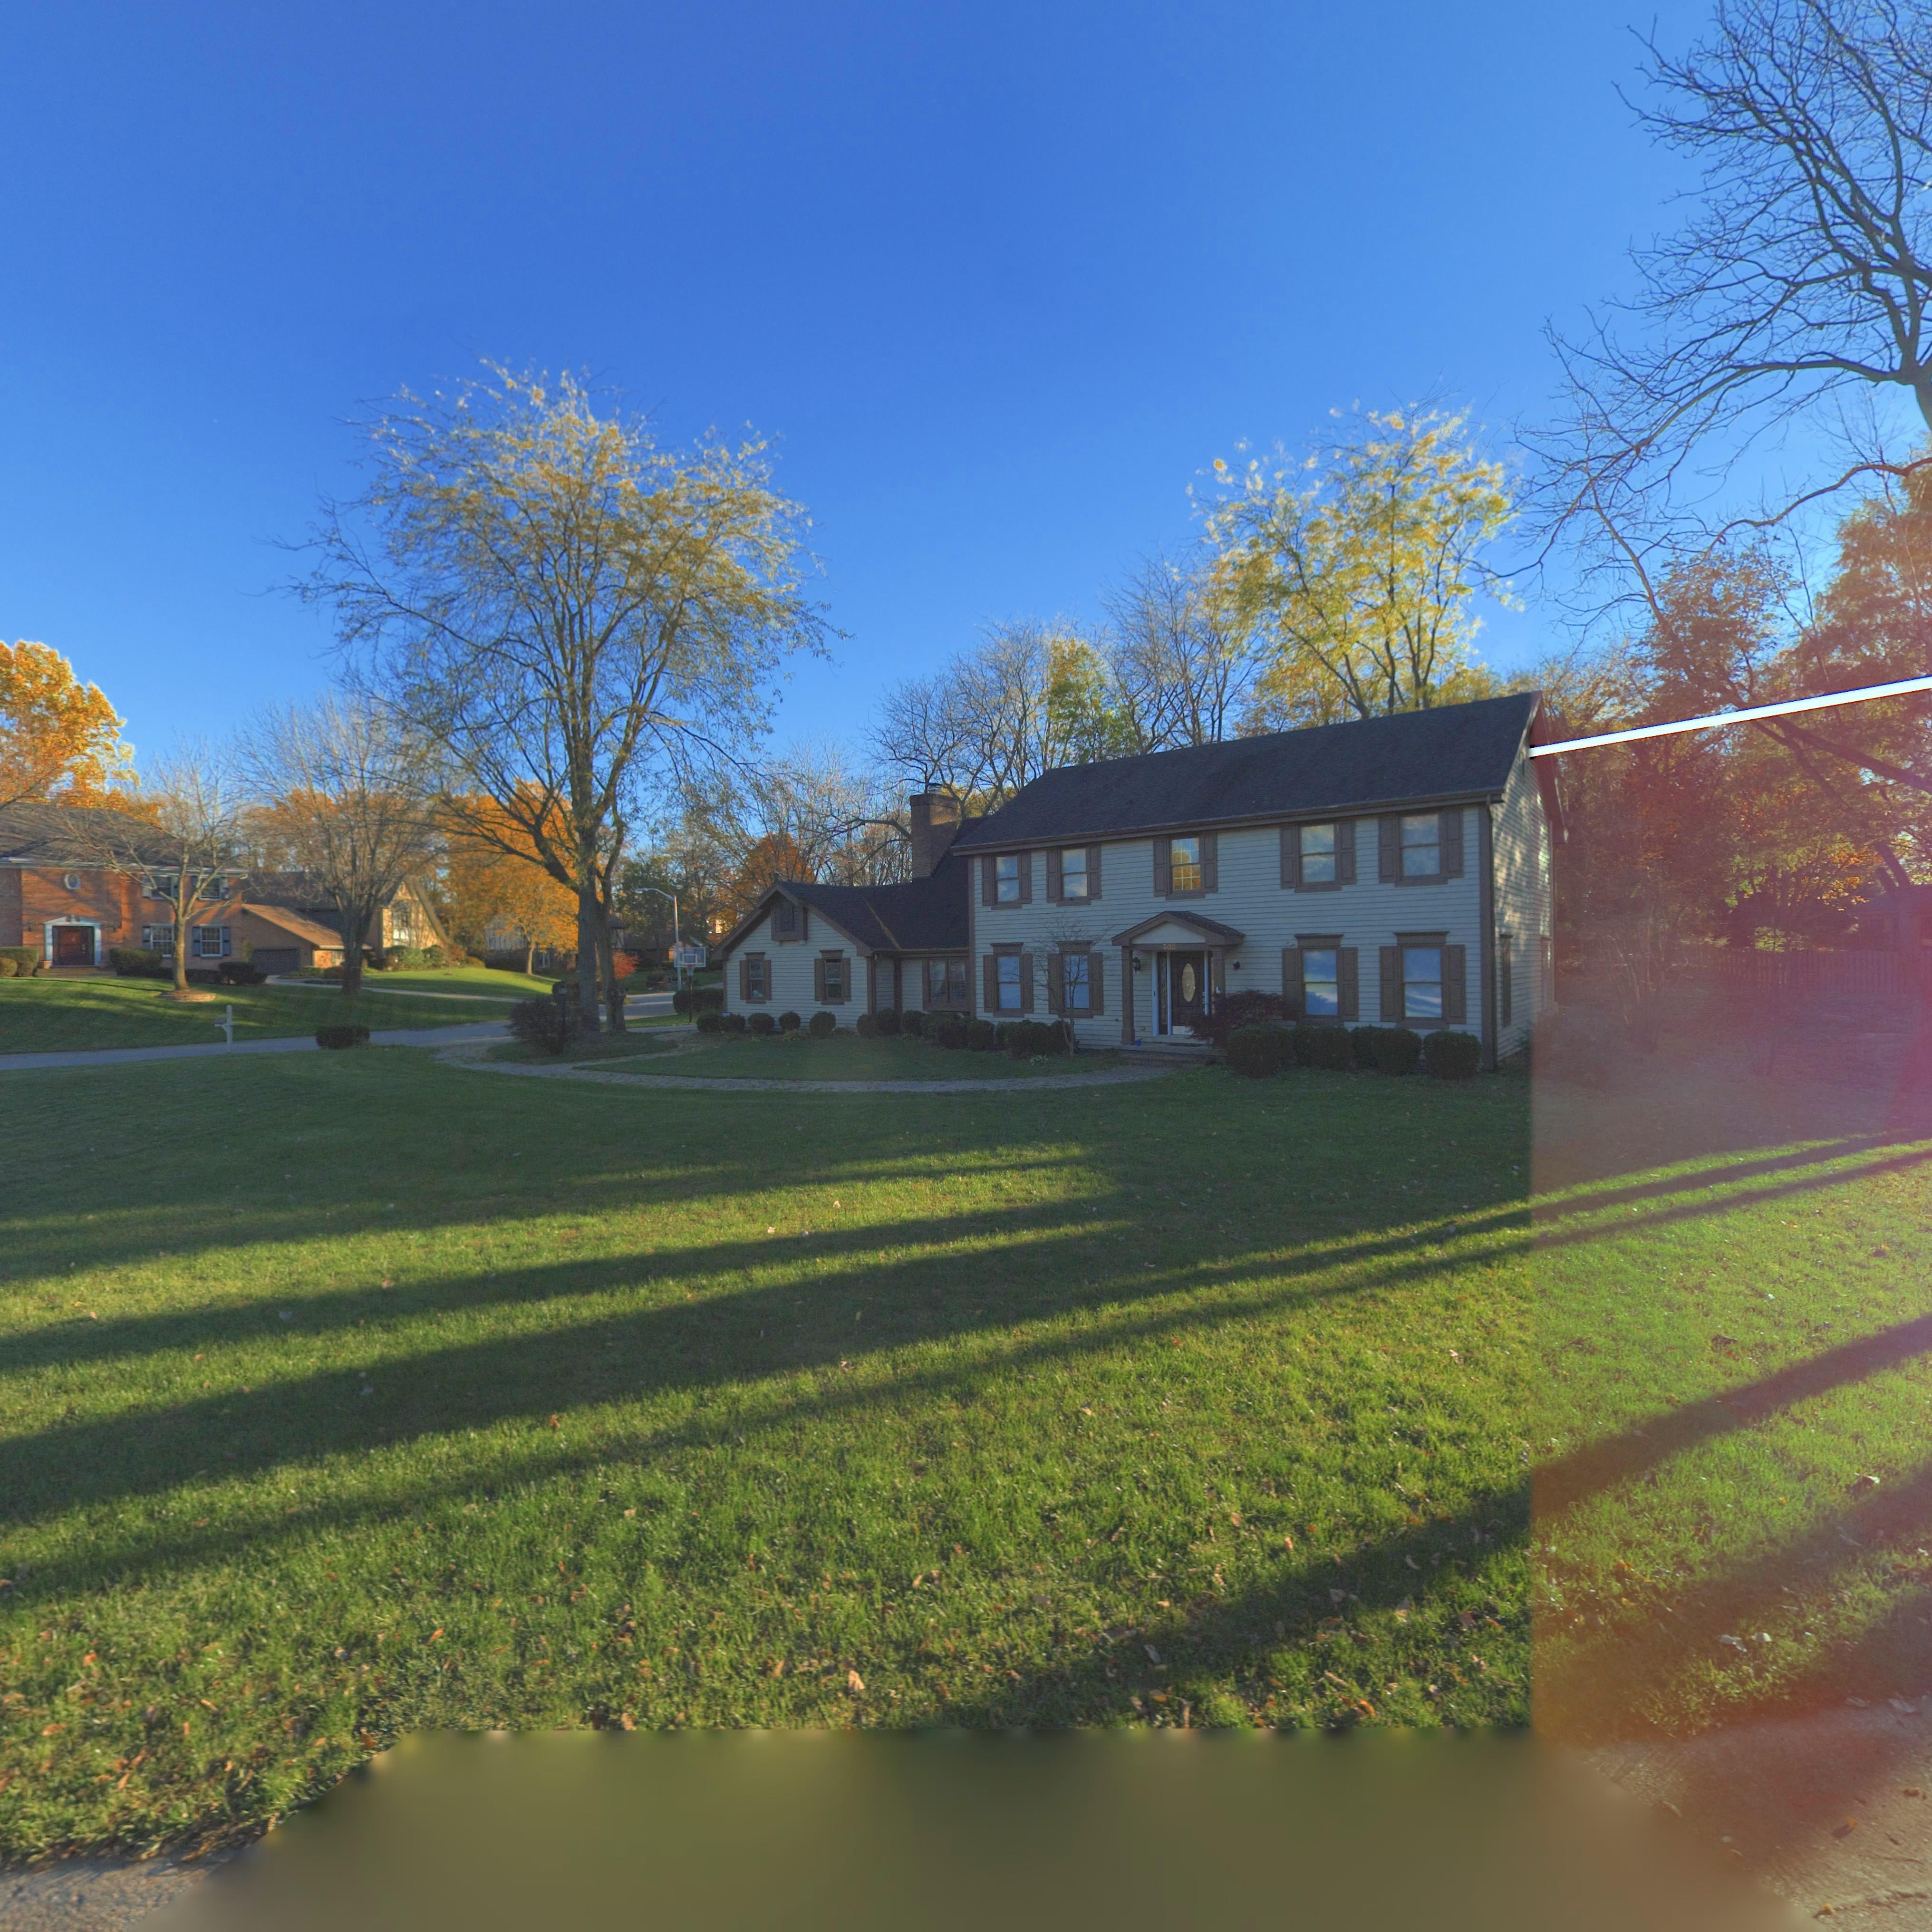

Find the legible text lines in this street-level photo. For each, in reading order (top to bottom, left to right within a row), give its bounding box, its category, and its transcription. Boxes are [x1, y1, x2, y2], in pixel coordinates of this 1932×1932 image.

[1162, 943, 1176, 951] StreetNumber: 502